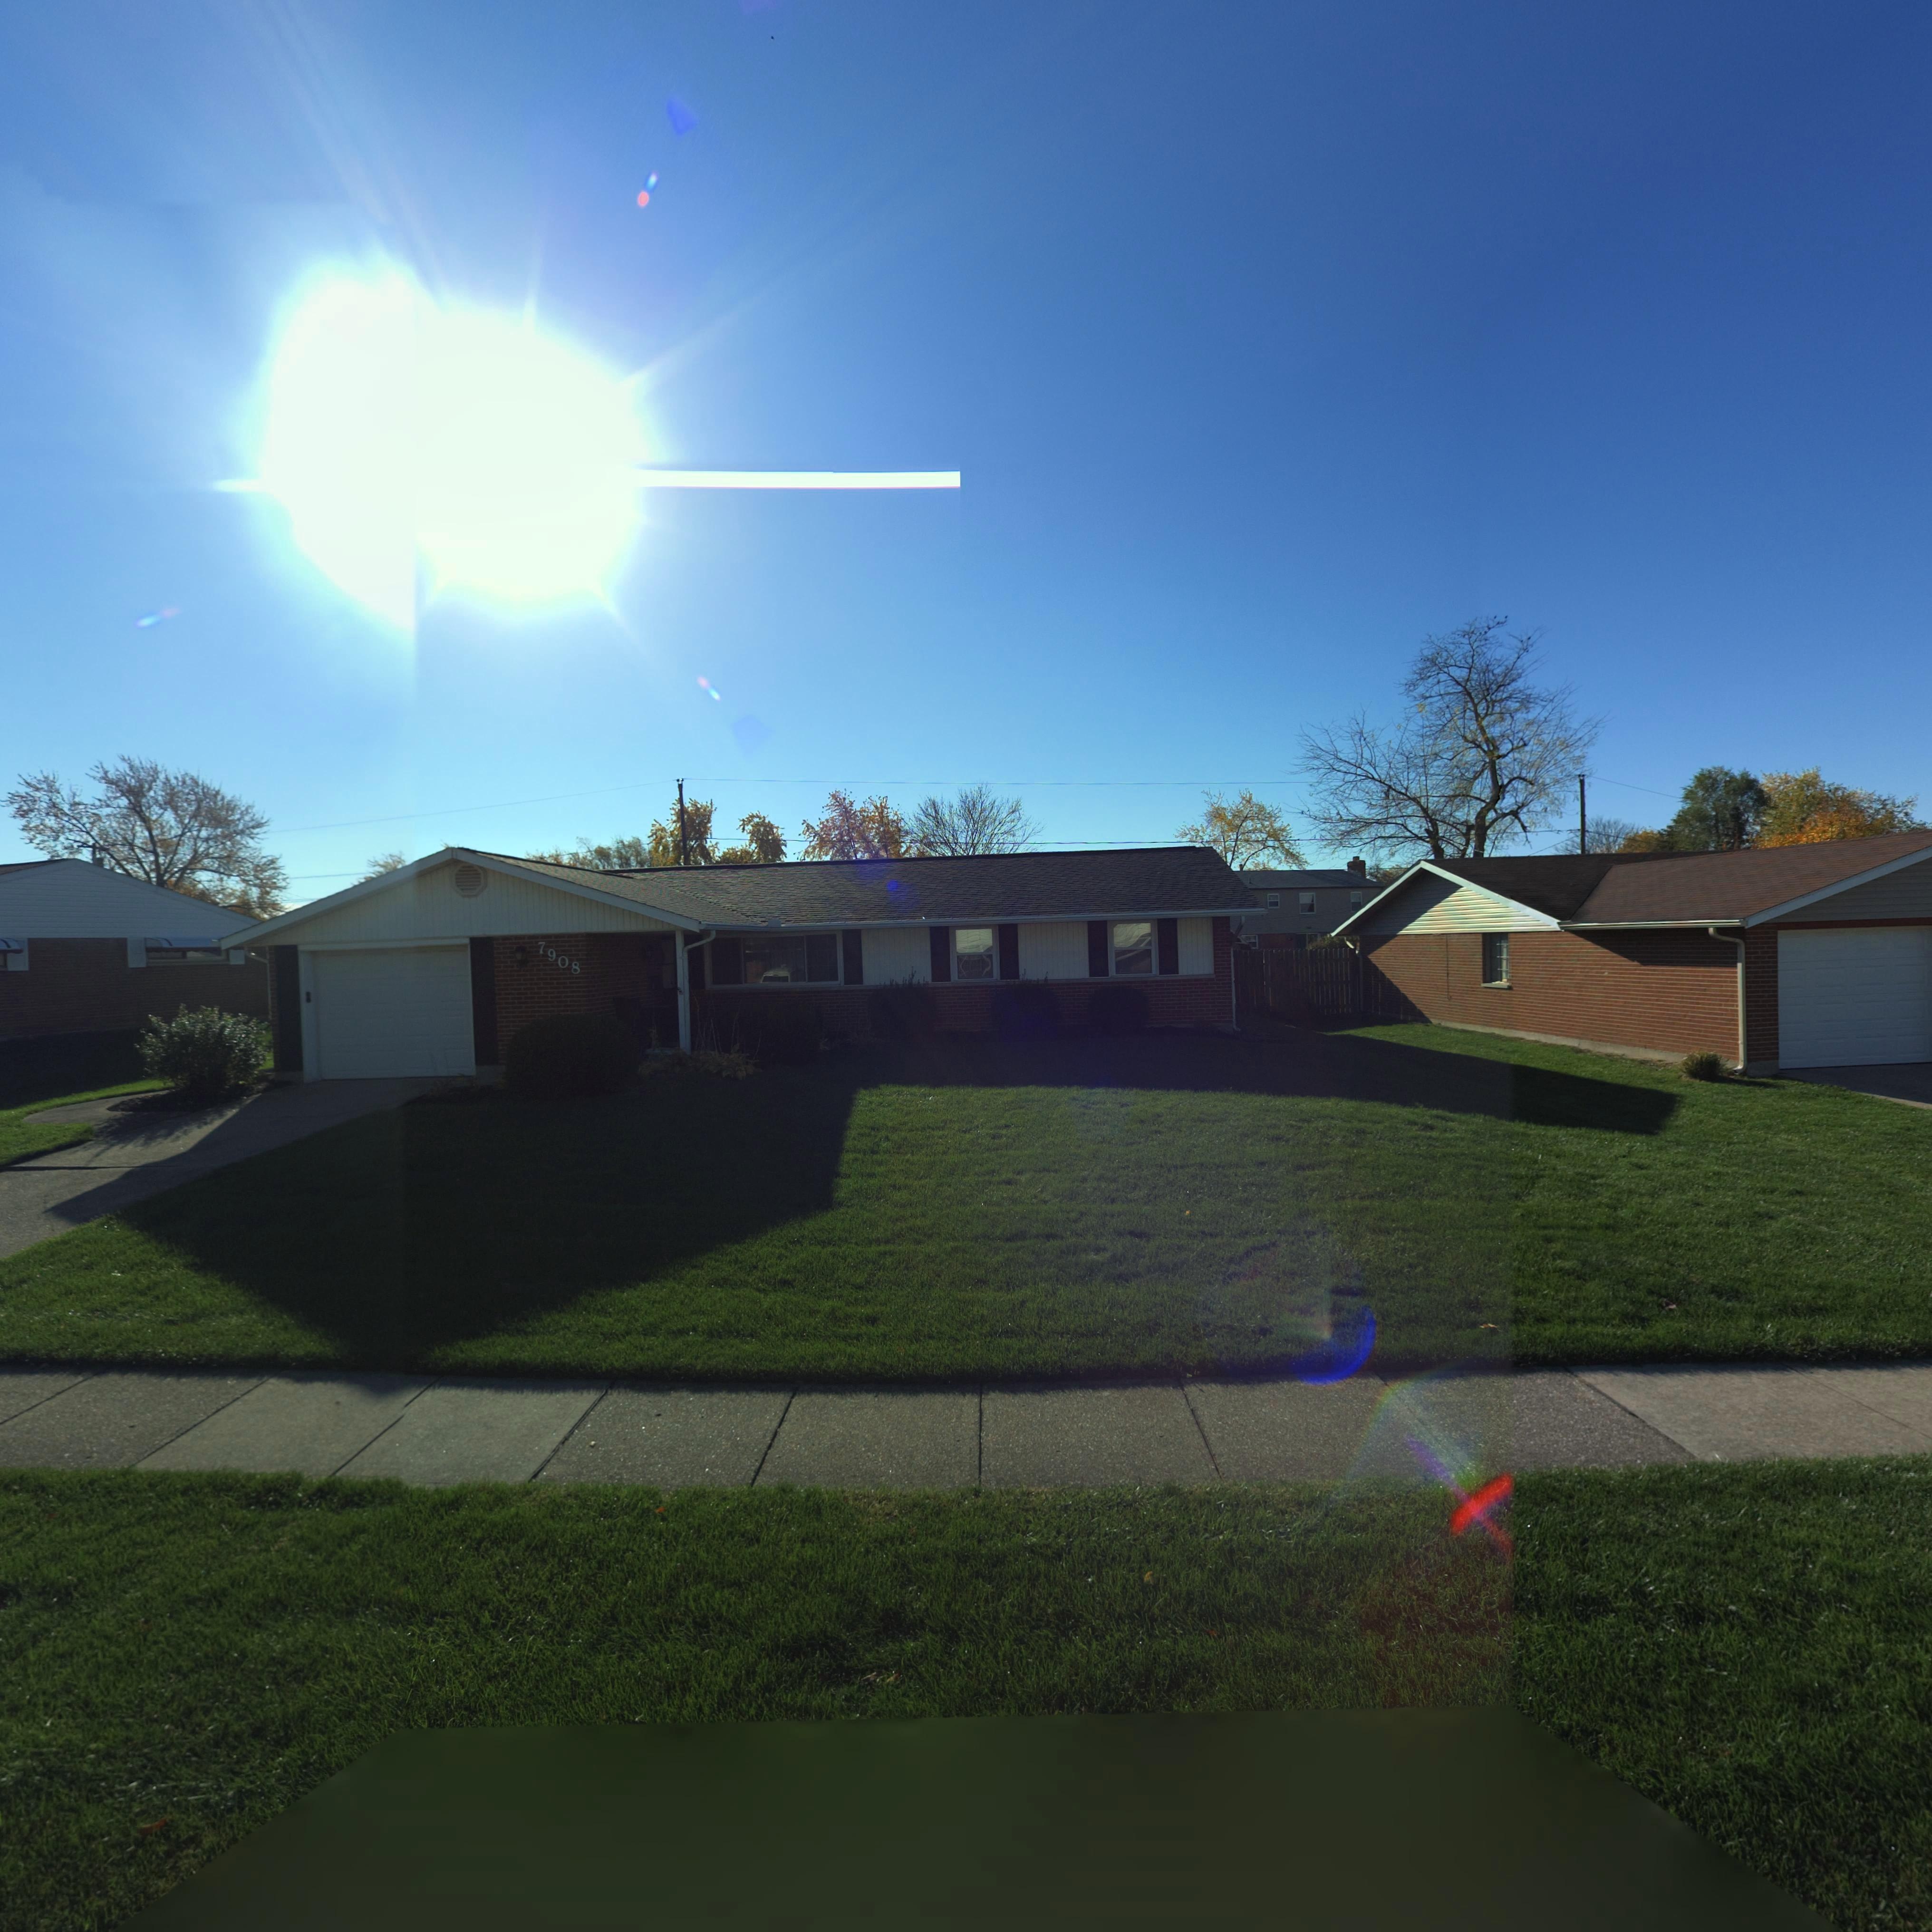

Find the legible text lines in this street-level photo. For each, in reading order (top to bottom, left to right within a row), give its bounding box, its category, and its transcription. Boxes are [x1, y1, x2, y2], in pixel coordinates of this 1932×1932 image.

[537, 941, 581, 975] StreetNumber: 7908